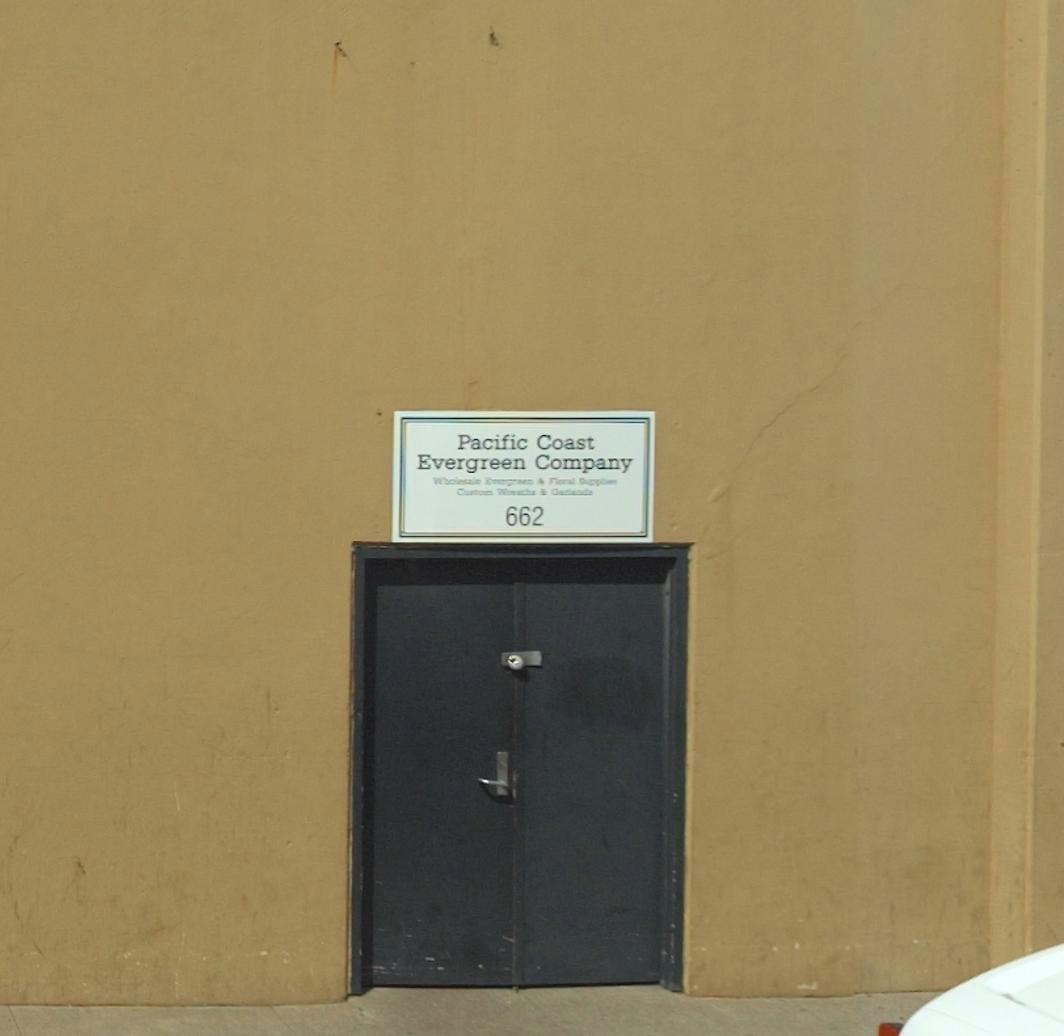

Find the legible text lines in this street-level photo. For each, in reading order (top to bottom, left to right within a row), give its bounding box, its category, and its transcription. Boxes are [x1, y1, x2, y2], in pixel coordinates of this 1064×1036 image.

[455, 429, 597, 453] BusinessName: Pacific Coast
[412, 450, 638, 478] BusinessName: Evergreen Company
[430, 475, 483, 487] None: Wholesale
[494, 487, 510, 498] None: W
[547, 476, 578, 488] None: Floral
[502, 503, 549, 528] StreetNumber: 662